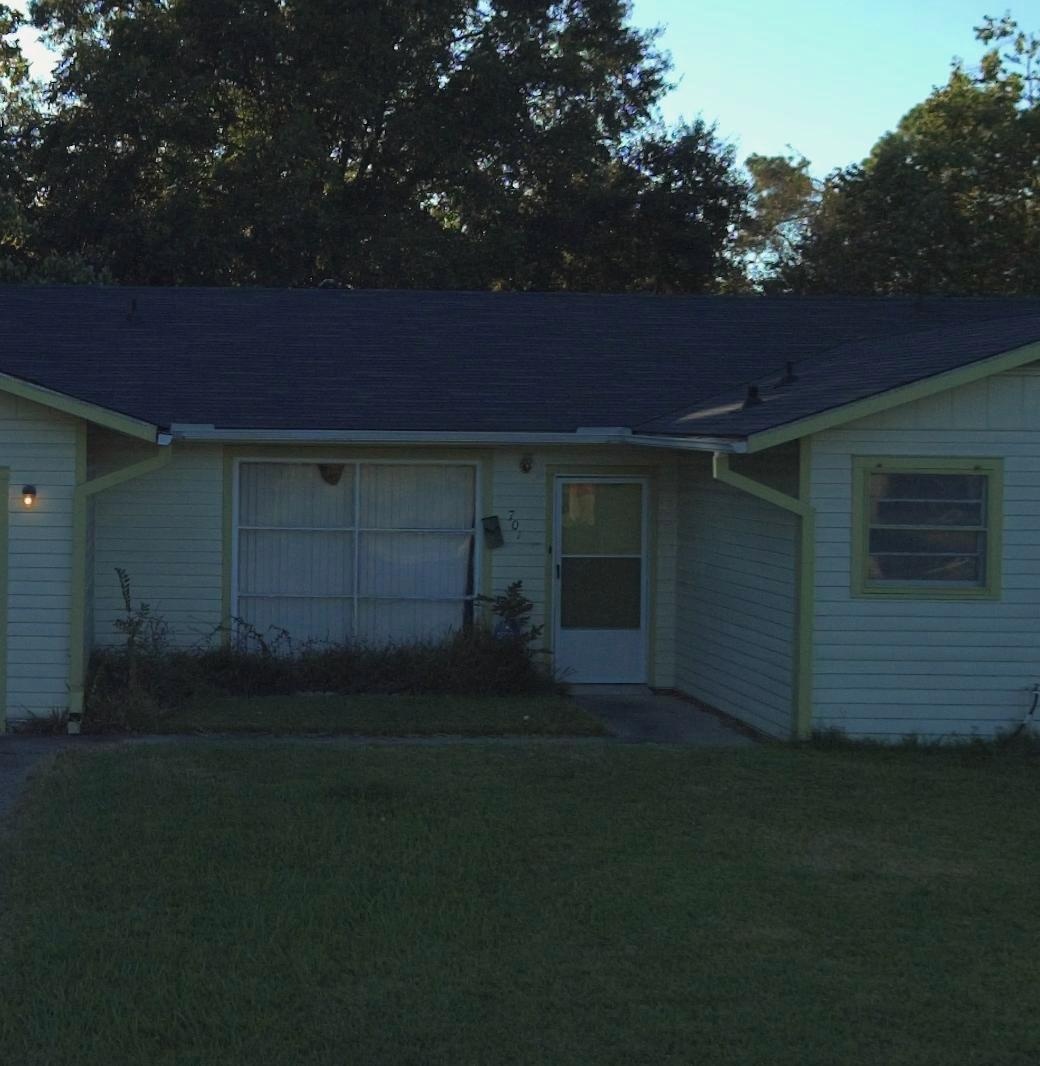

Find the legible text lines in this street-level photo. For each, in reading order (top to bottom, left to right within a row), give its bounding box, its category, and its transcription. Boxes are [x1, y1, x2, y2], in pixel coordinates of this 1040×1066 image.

[505, 508, 525, 543] StreetNumber: 701